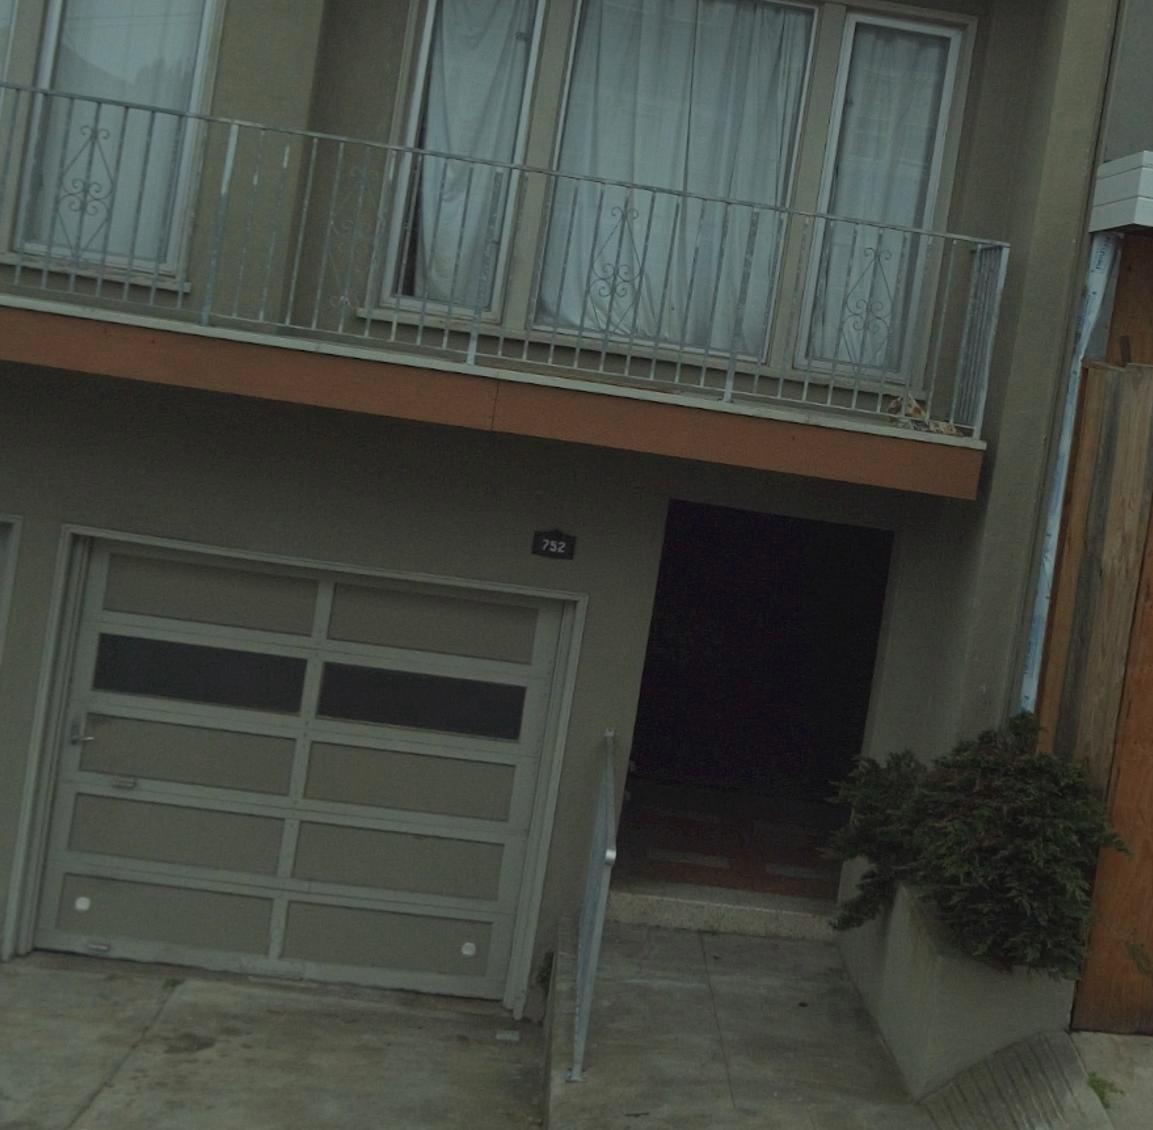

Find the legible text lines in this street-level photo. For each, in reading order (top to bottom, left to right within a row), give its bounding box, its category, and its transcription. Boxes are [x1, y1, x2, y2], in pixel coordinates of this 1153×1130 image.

[540, 537, 567, 555] StreetNumber: 752